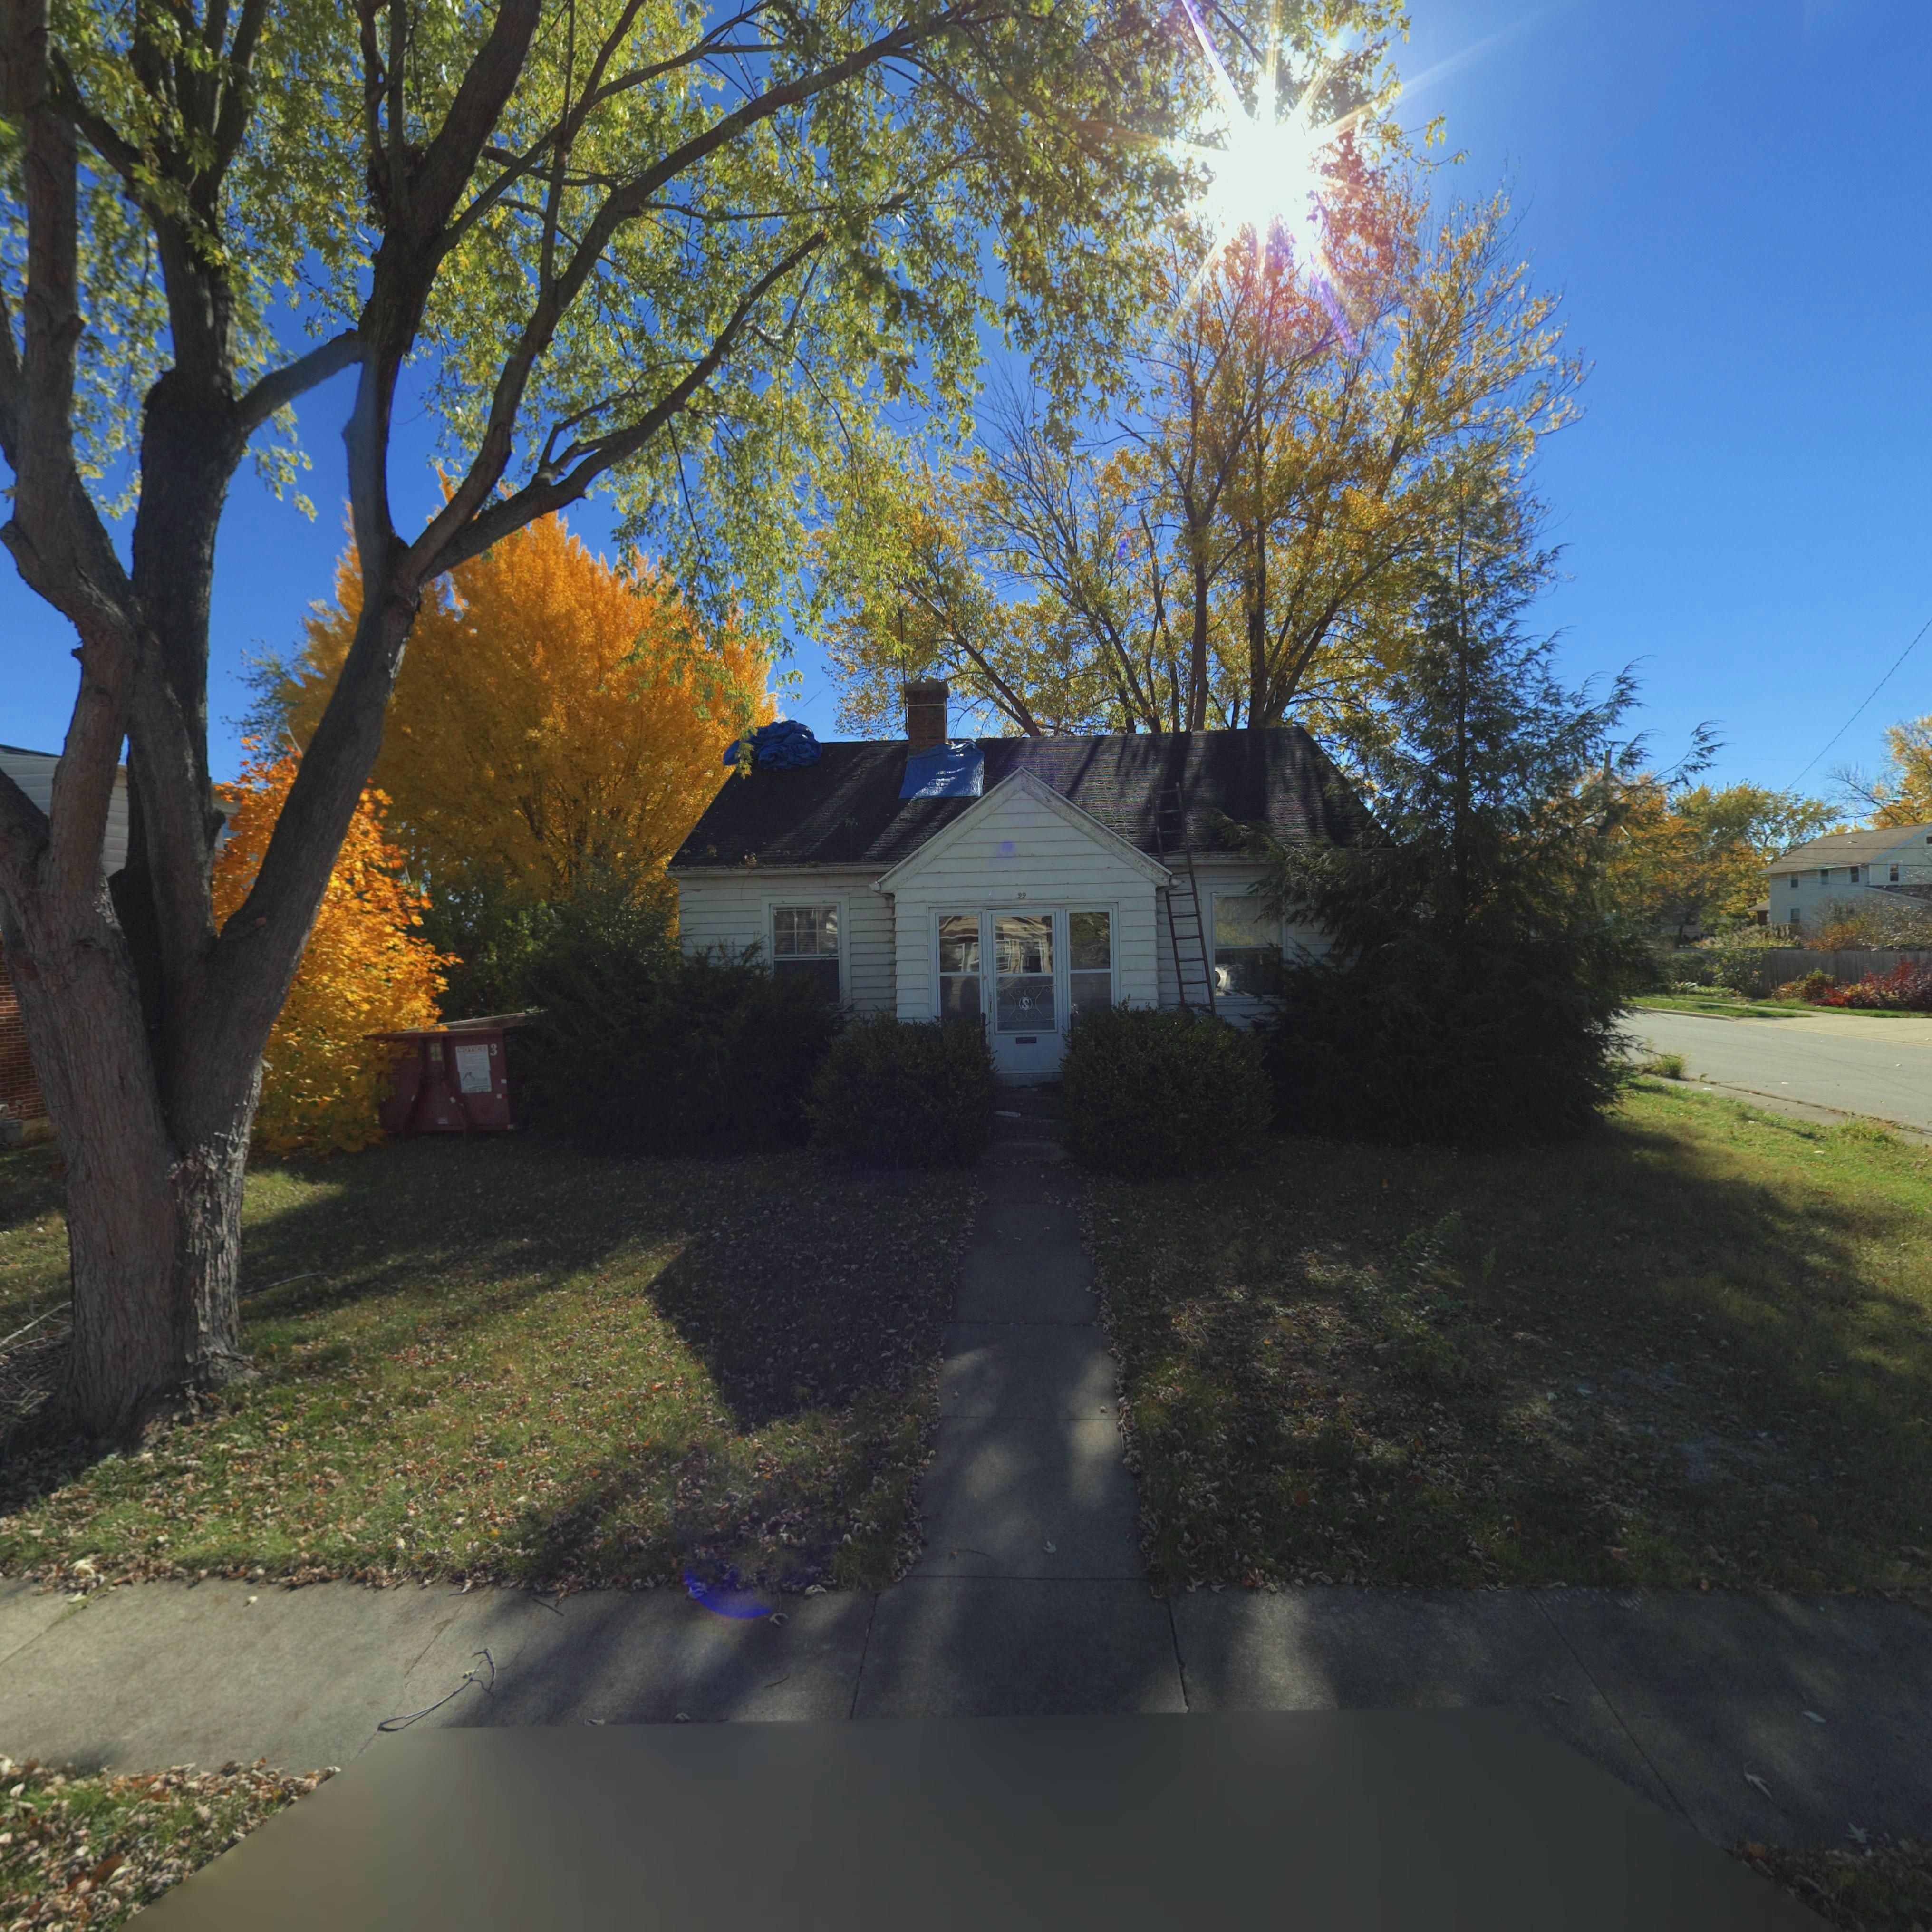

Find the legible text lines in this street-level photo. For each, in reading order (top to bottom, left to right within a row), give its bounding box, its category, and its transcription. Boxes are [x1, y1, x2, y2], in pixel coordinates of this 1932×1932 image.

[1016, 891, 1028, 899] StreetNumber: 99
[457, 1045, 487, 1053] None: NOTICE
[489, 1043, 498, 1057] None: 3